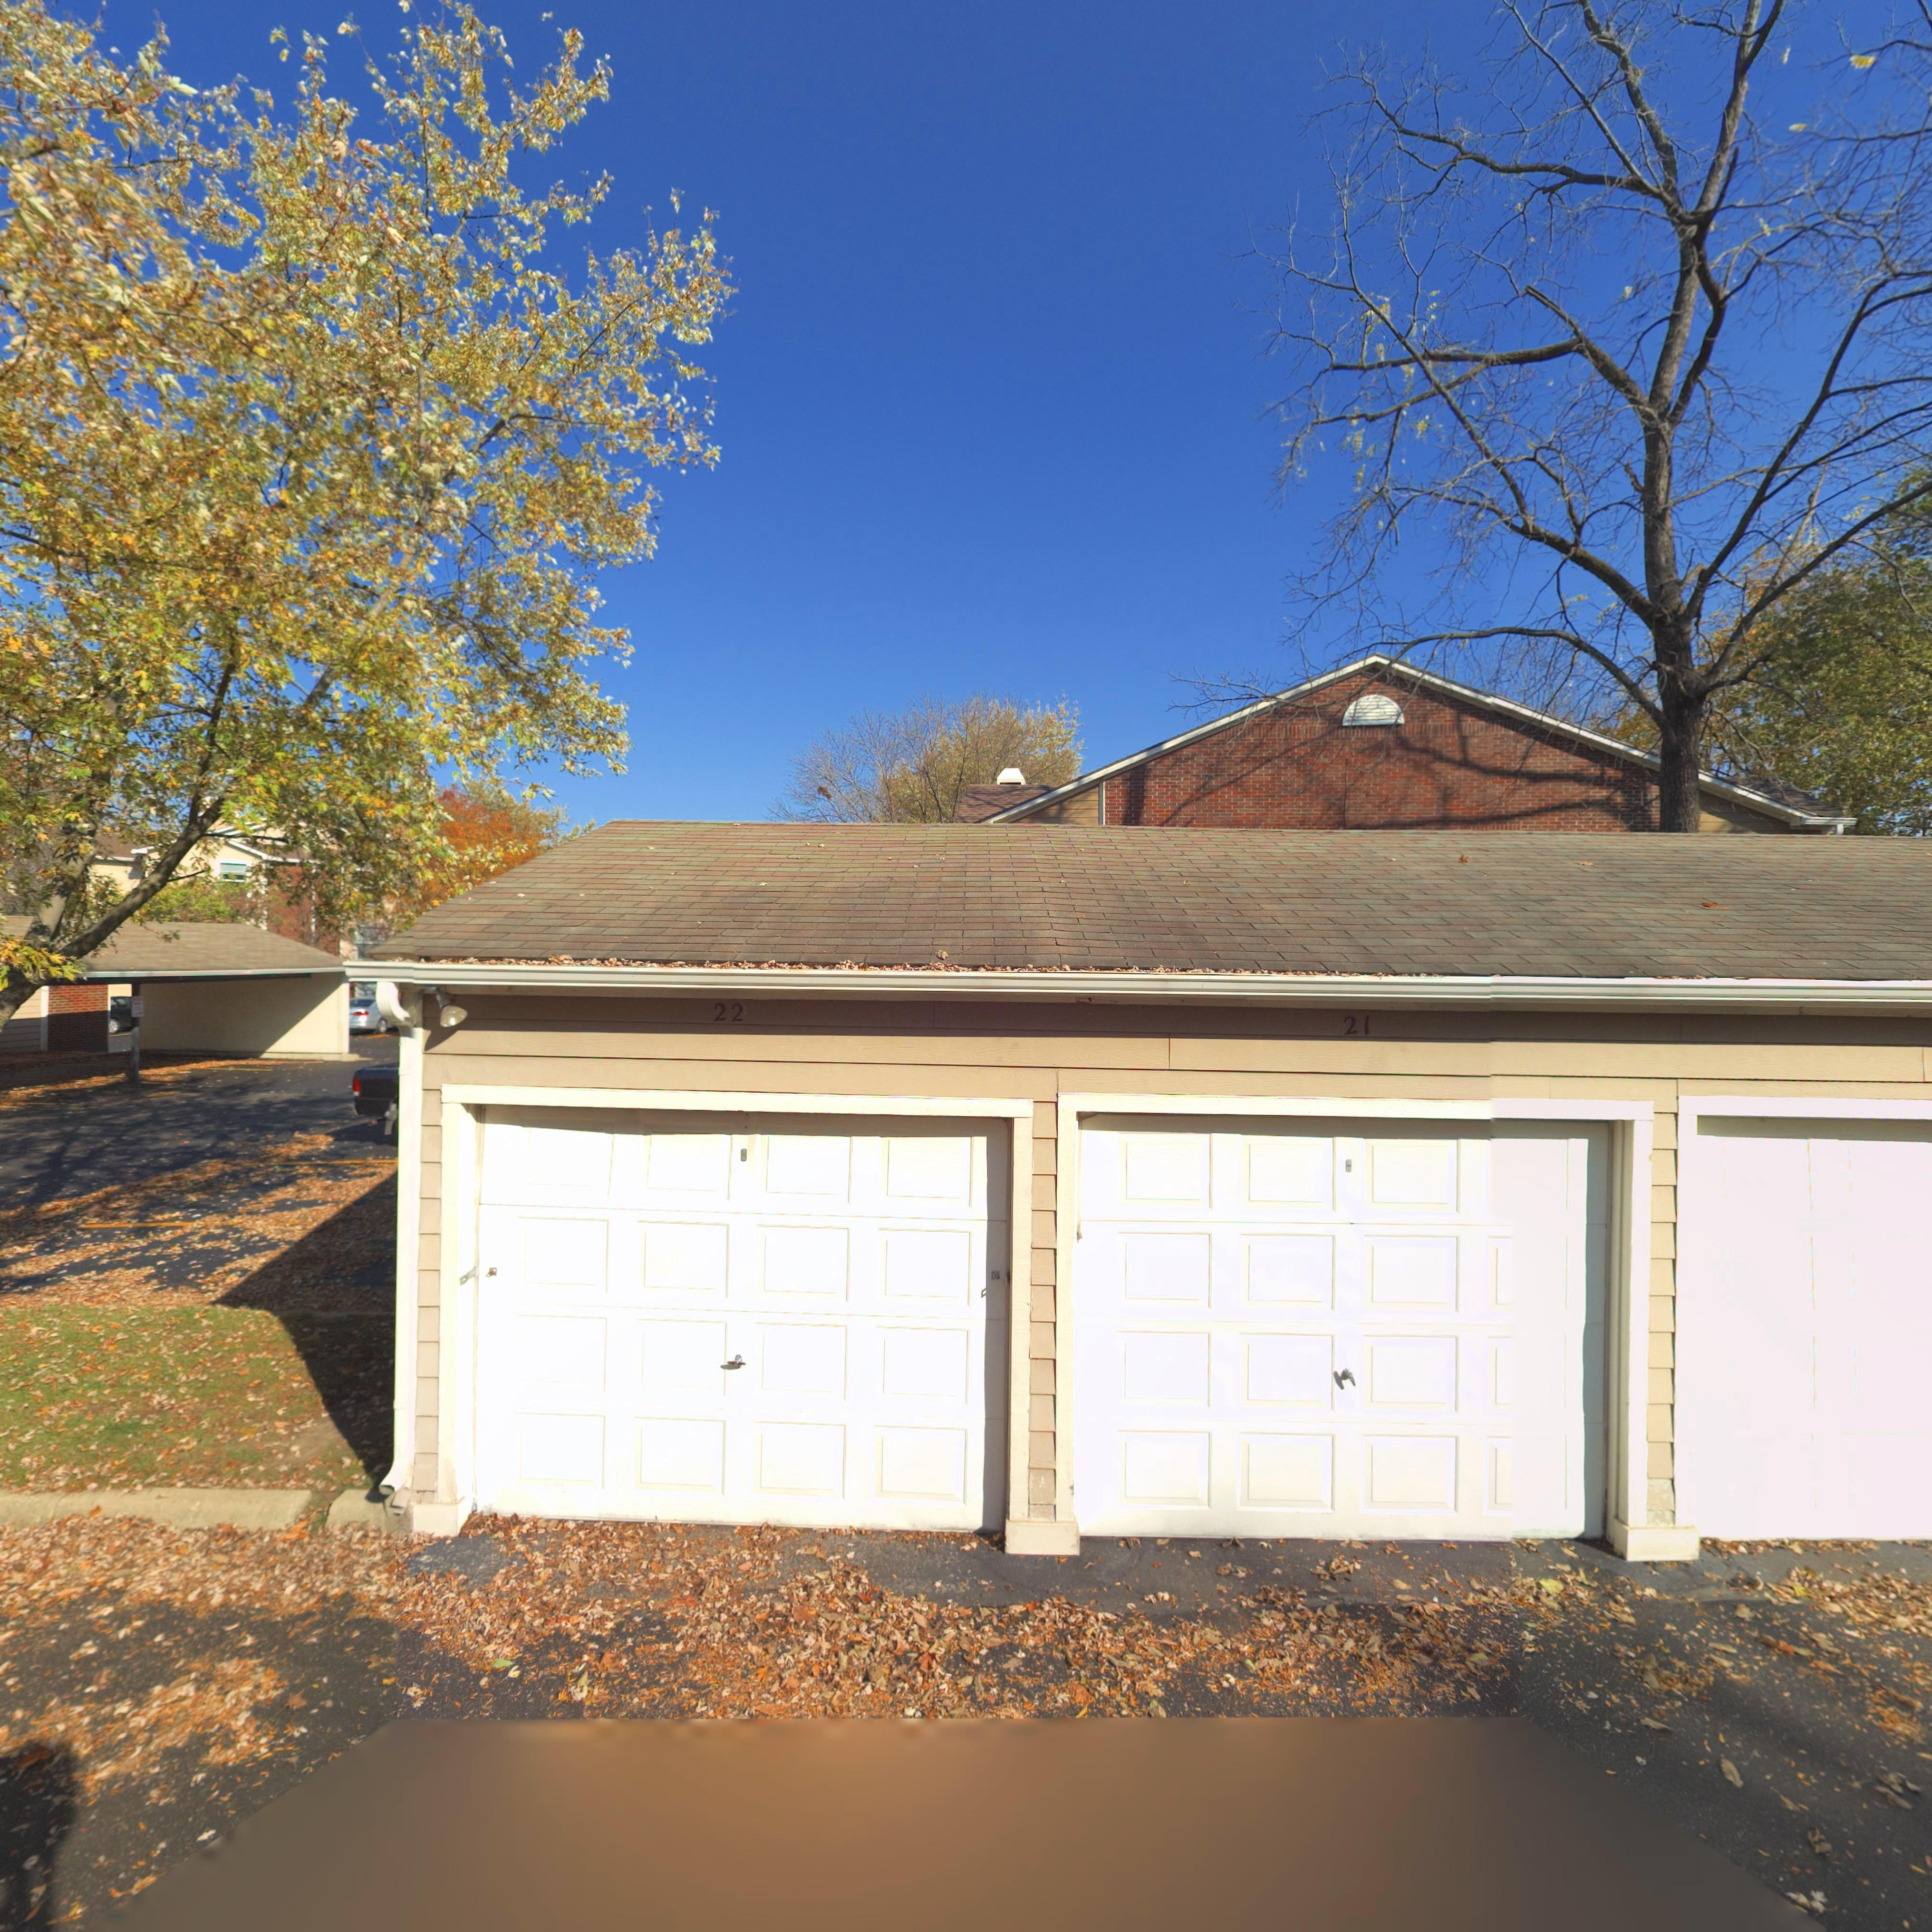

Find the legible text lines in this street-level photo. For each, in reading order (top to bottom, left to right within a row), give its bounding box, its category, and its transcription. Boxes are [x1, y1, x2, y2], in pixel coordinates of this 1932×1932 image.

[713, 1002, 744, 1023] StreetNumber: 22
[1343, 1014, 1371, 1036] StreetNumber: 21